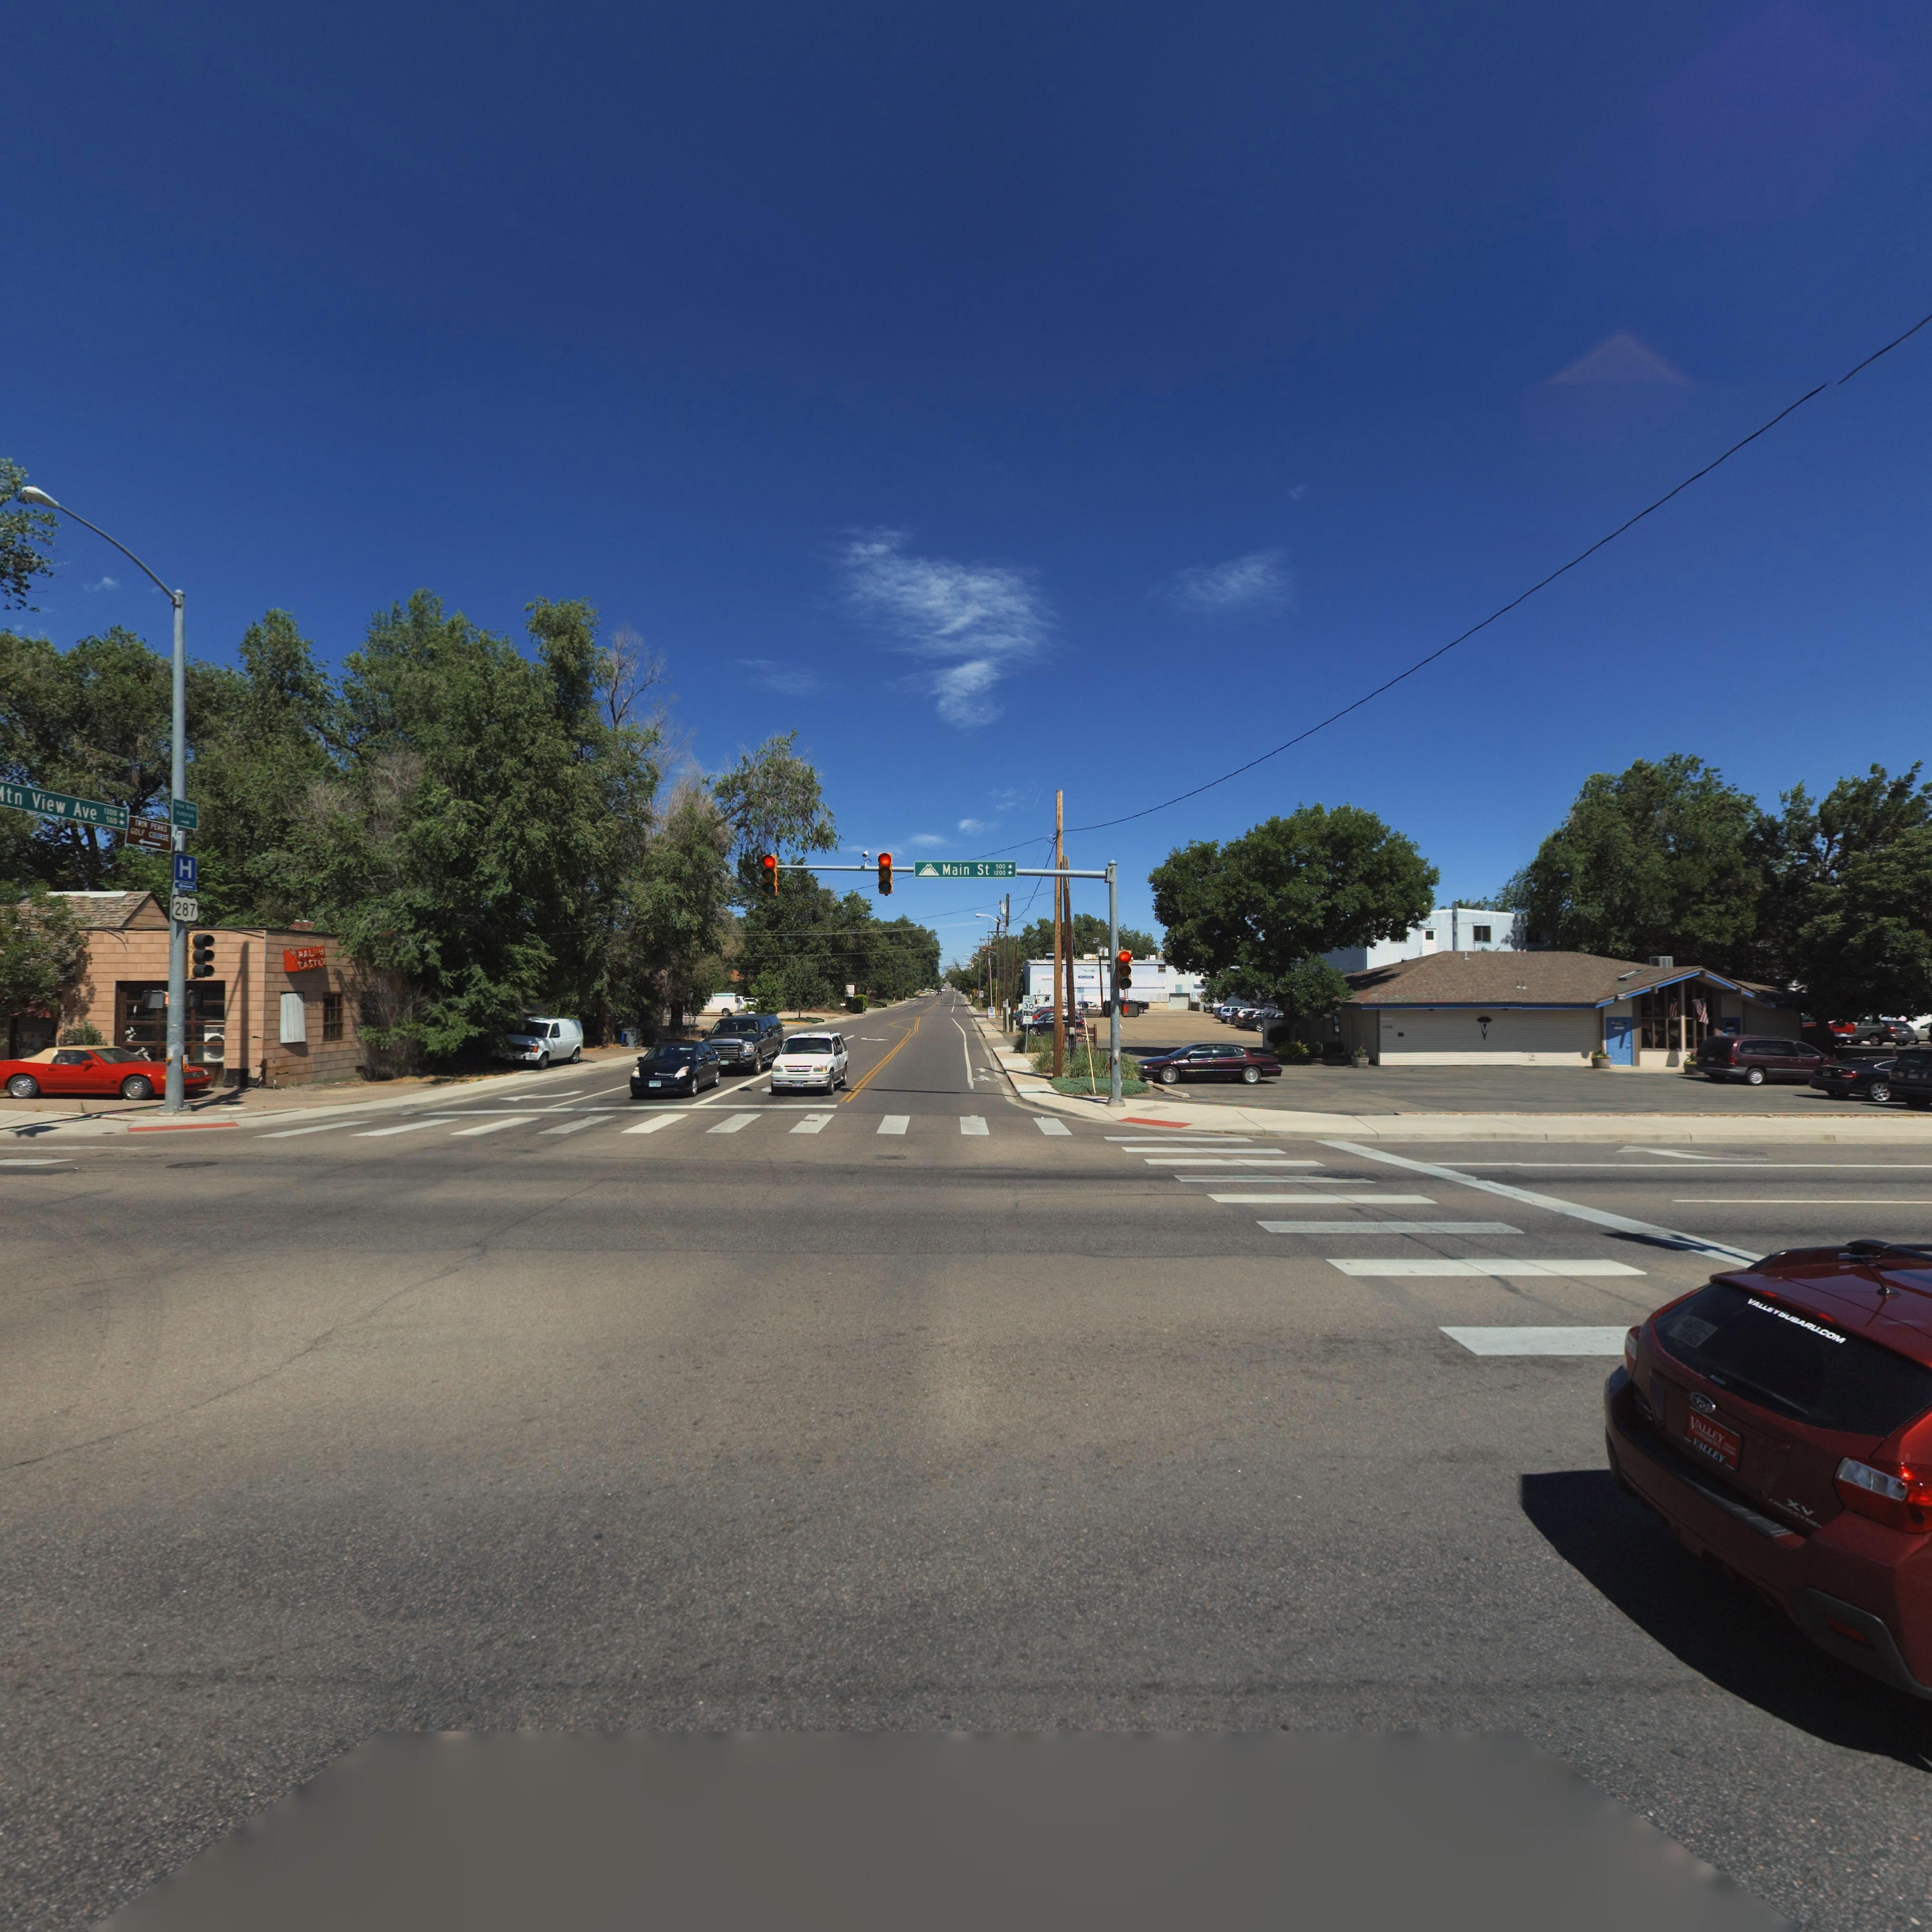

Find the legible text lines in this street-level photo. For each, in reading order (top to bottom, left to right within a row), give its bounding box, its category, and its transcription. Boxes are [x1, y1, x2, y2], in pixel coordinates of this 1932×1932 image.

[5, 786, 98, 821] StreetName: tn View Ave
[104, 807, 117, 816] StreetNumberRange: 1300
[106, 815, 126, 826] StreetNumberRange: 500->
[942, 863, 990, 875] StreetName: Main St
[995, 863, 1005, 869] StreetNumberRange: 500
[994, 869, 1013, 875] StreetNumberRange: 1200->
[297, 947, 325, 958] BusinessName: RAL*H
[296, 956, 328, 970] BusinessName: CASTLE
[1381, 1025, 1393, 1028] StreetNumber: 1***
[1077, 1036, 1092, 1041] BusinessName: PIT**